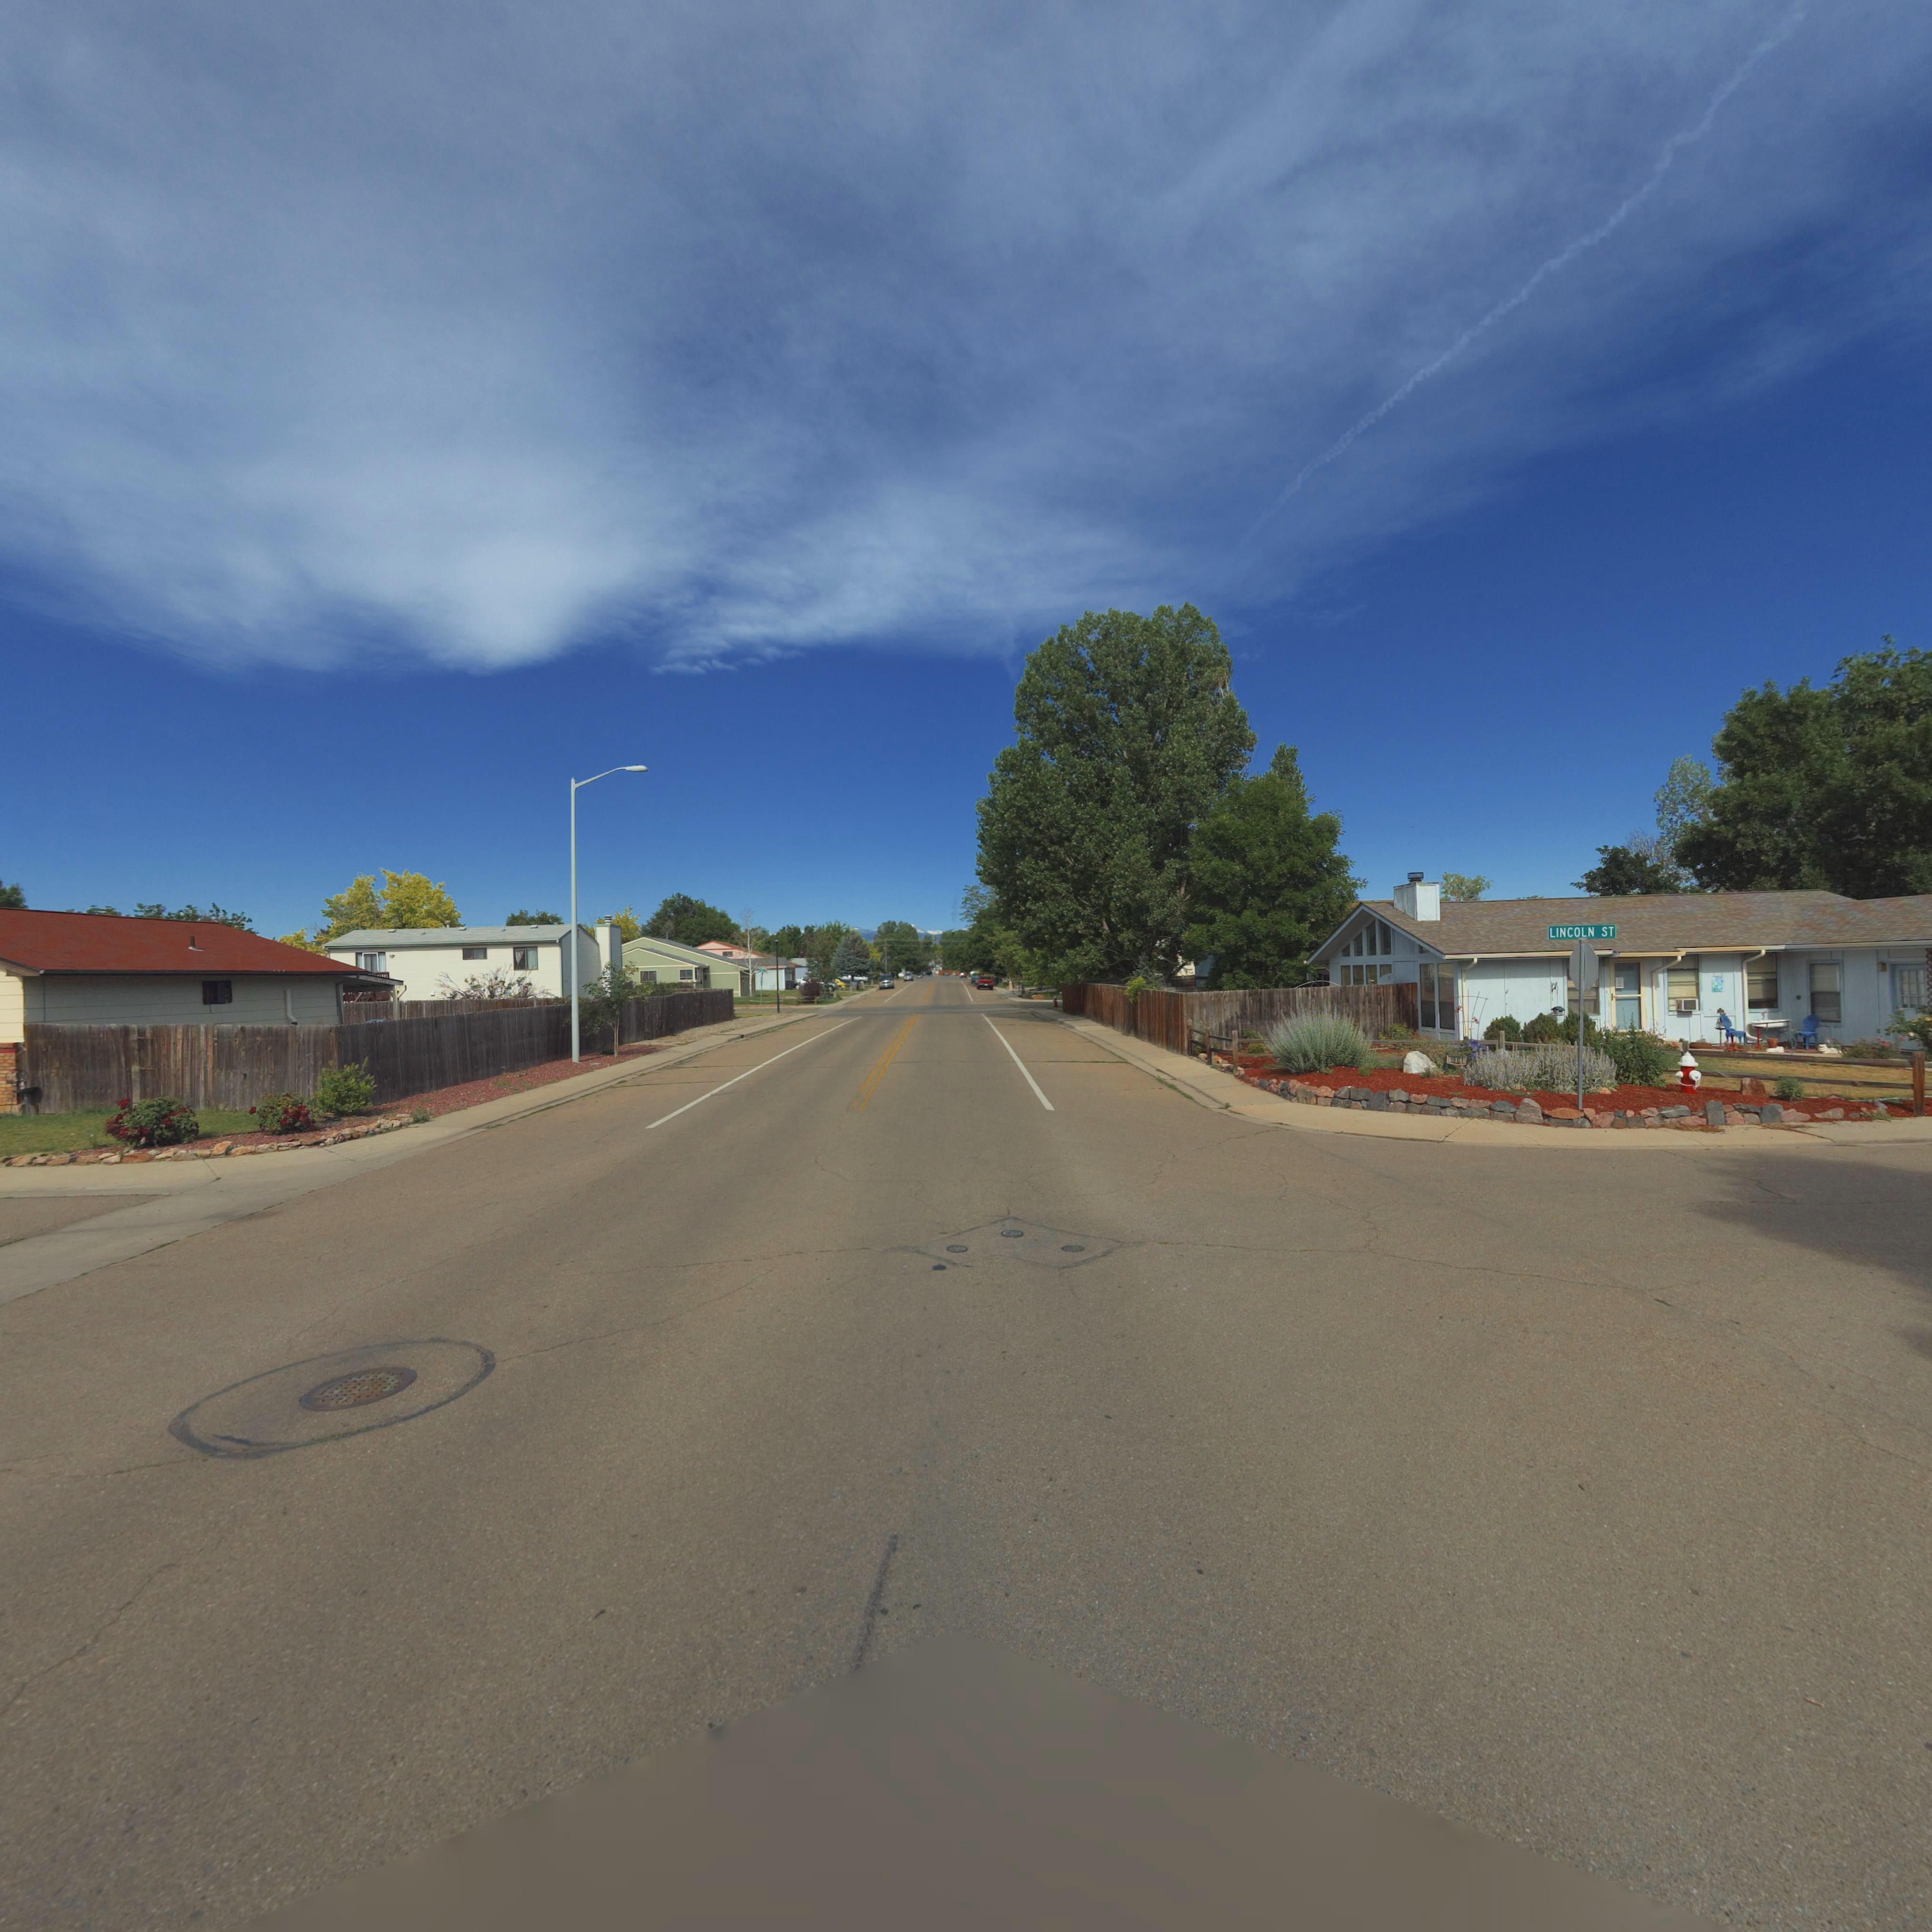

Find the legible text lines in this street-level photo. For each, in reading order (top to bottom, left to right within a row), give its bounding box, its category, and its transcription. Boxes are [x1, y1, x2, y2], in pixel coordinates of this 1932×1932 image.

[1548, 926, 1614, 938] StreetName: LINCOLN ST